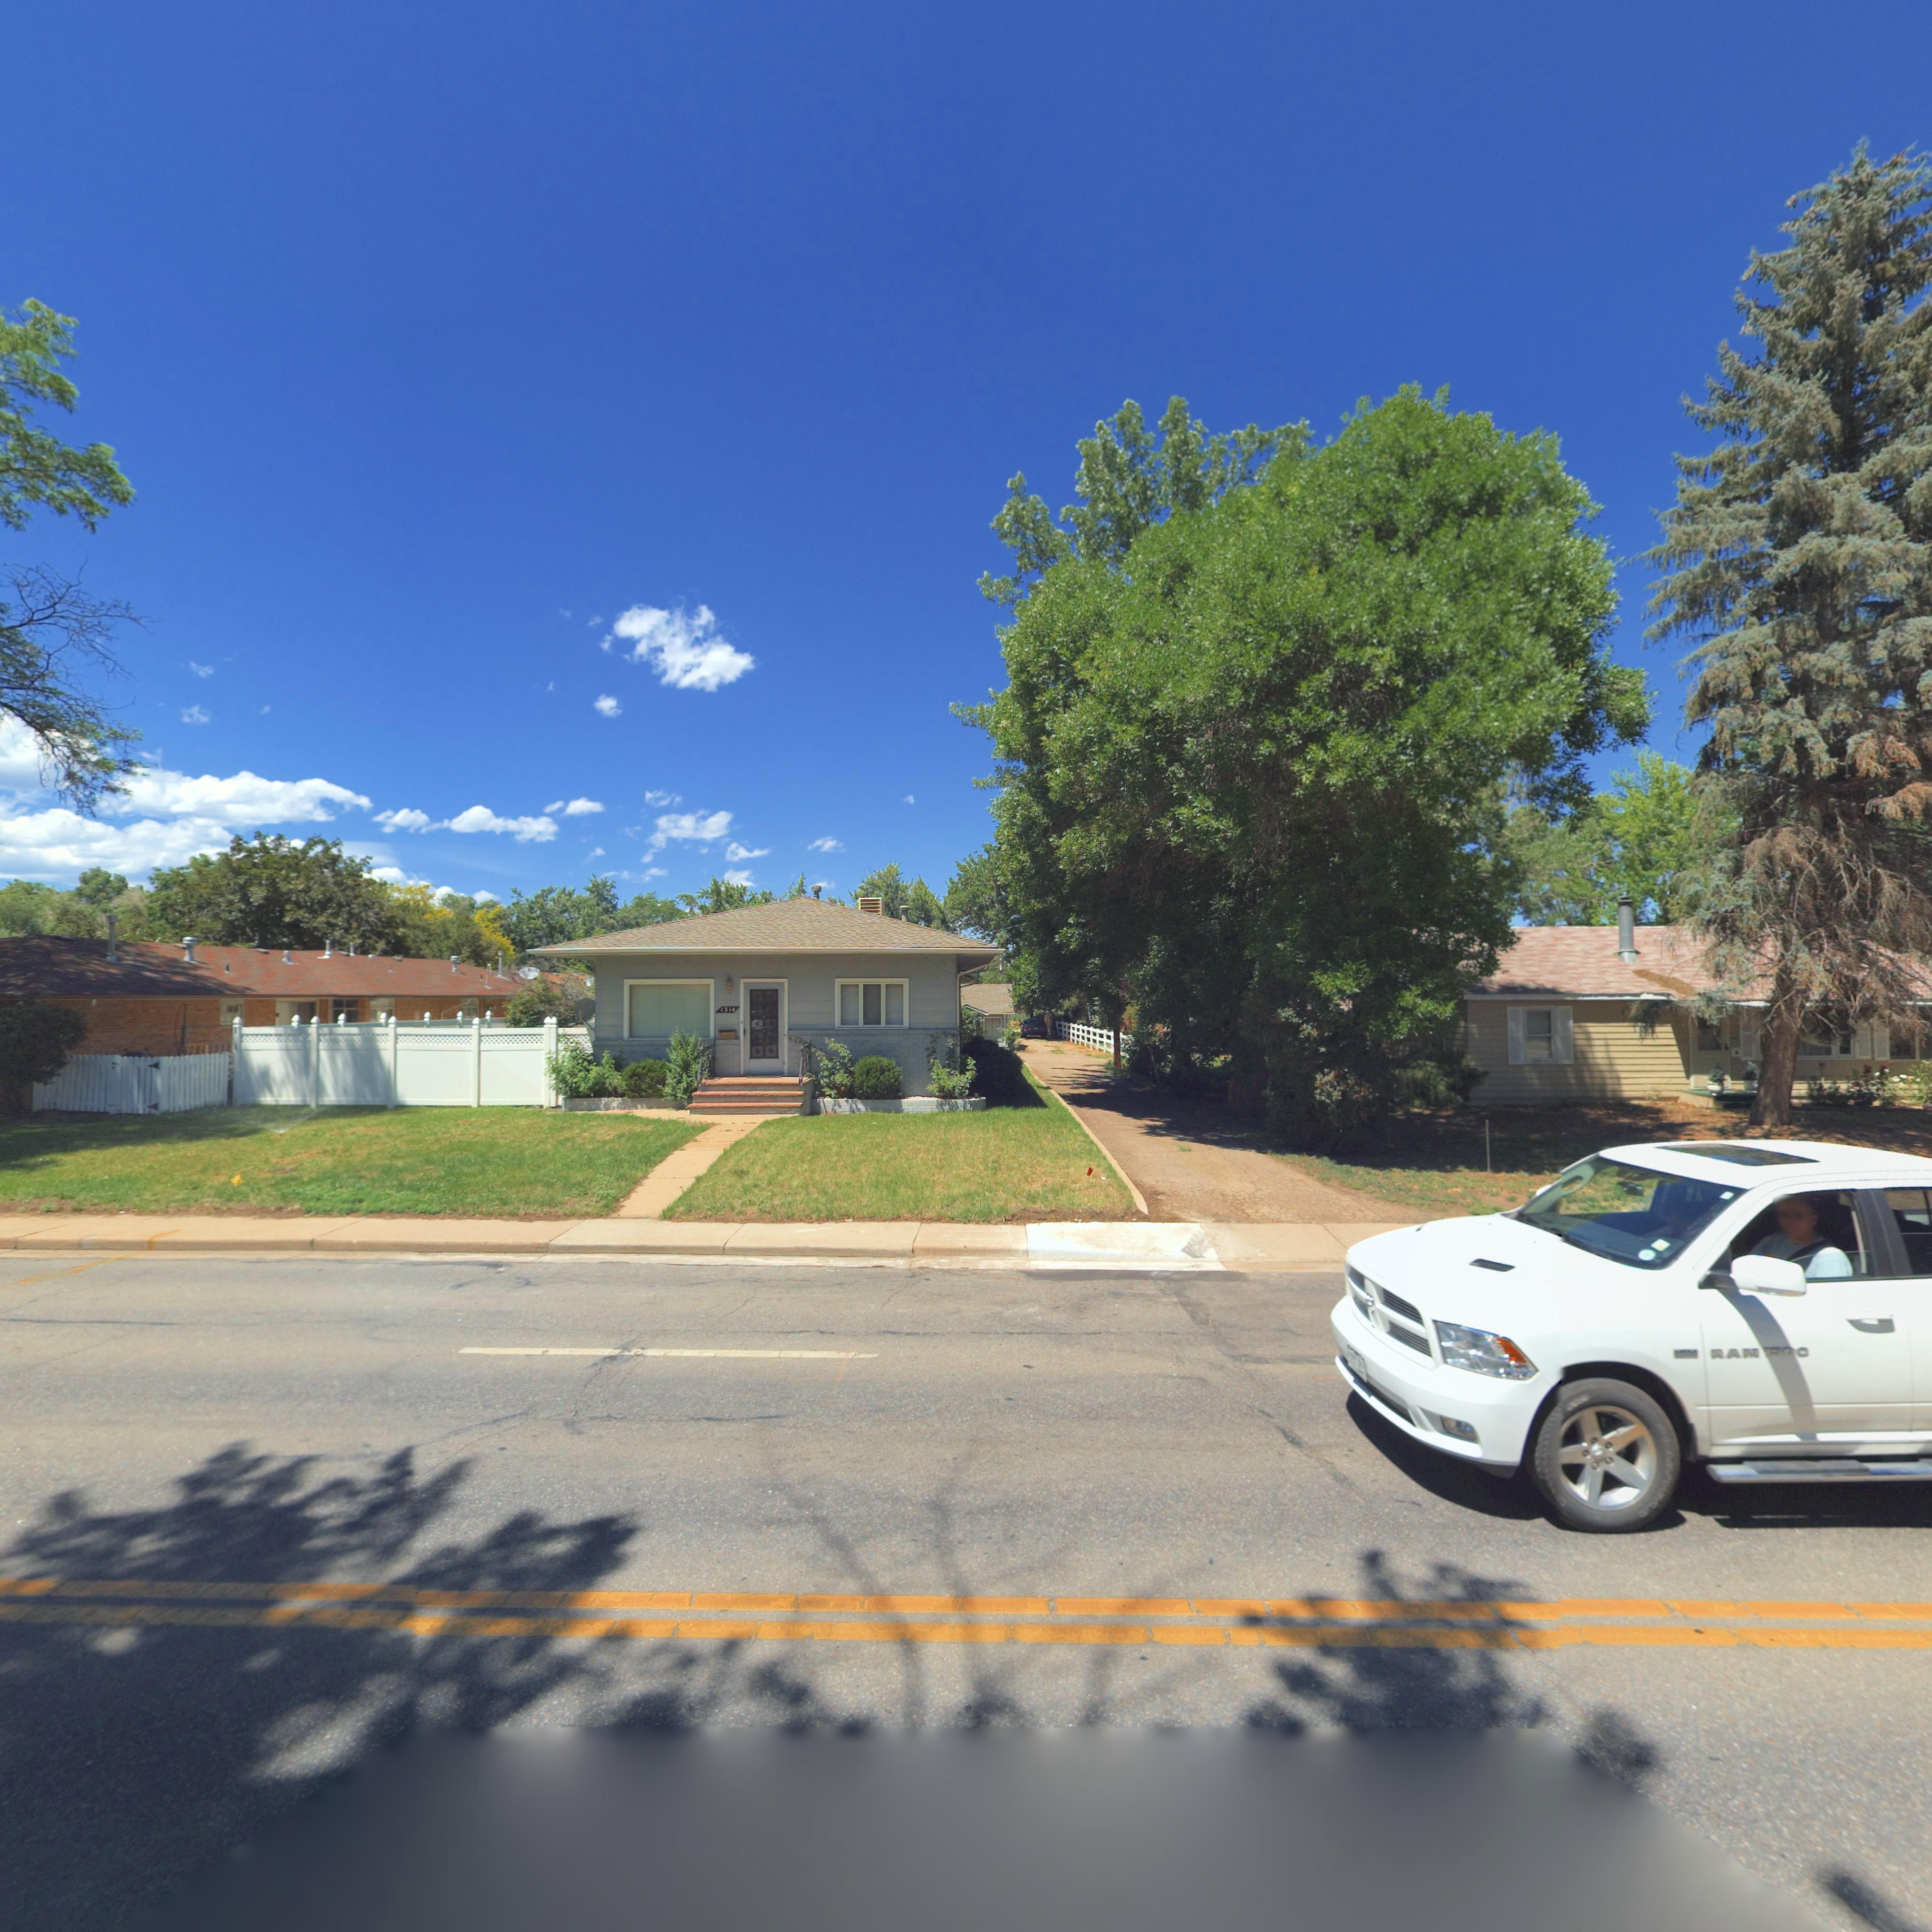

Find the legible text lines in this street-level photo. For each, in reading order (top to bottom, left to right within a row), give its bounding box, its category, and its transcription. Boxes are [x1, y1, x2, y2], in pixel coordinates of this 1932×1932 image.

[721, 1007, 735, 1012] StreetNumber: 1314